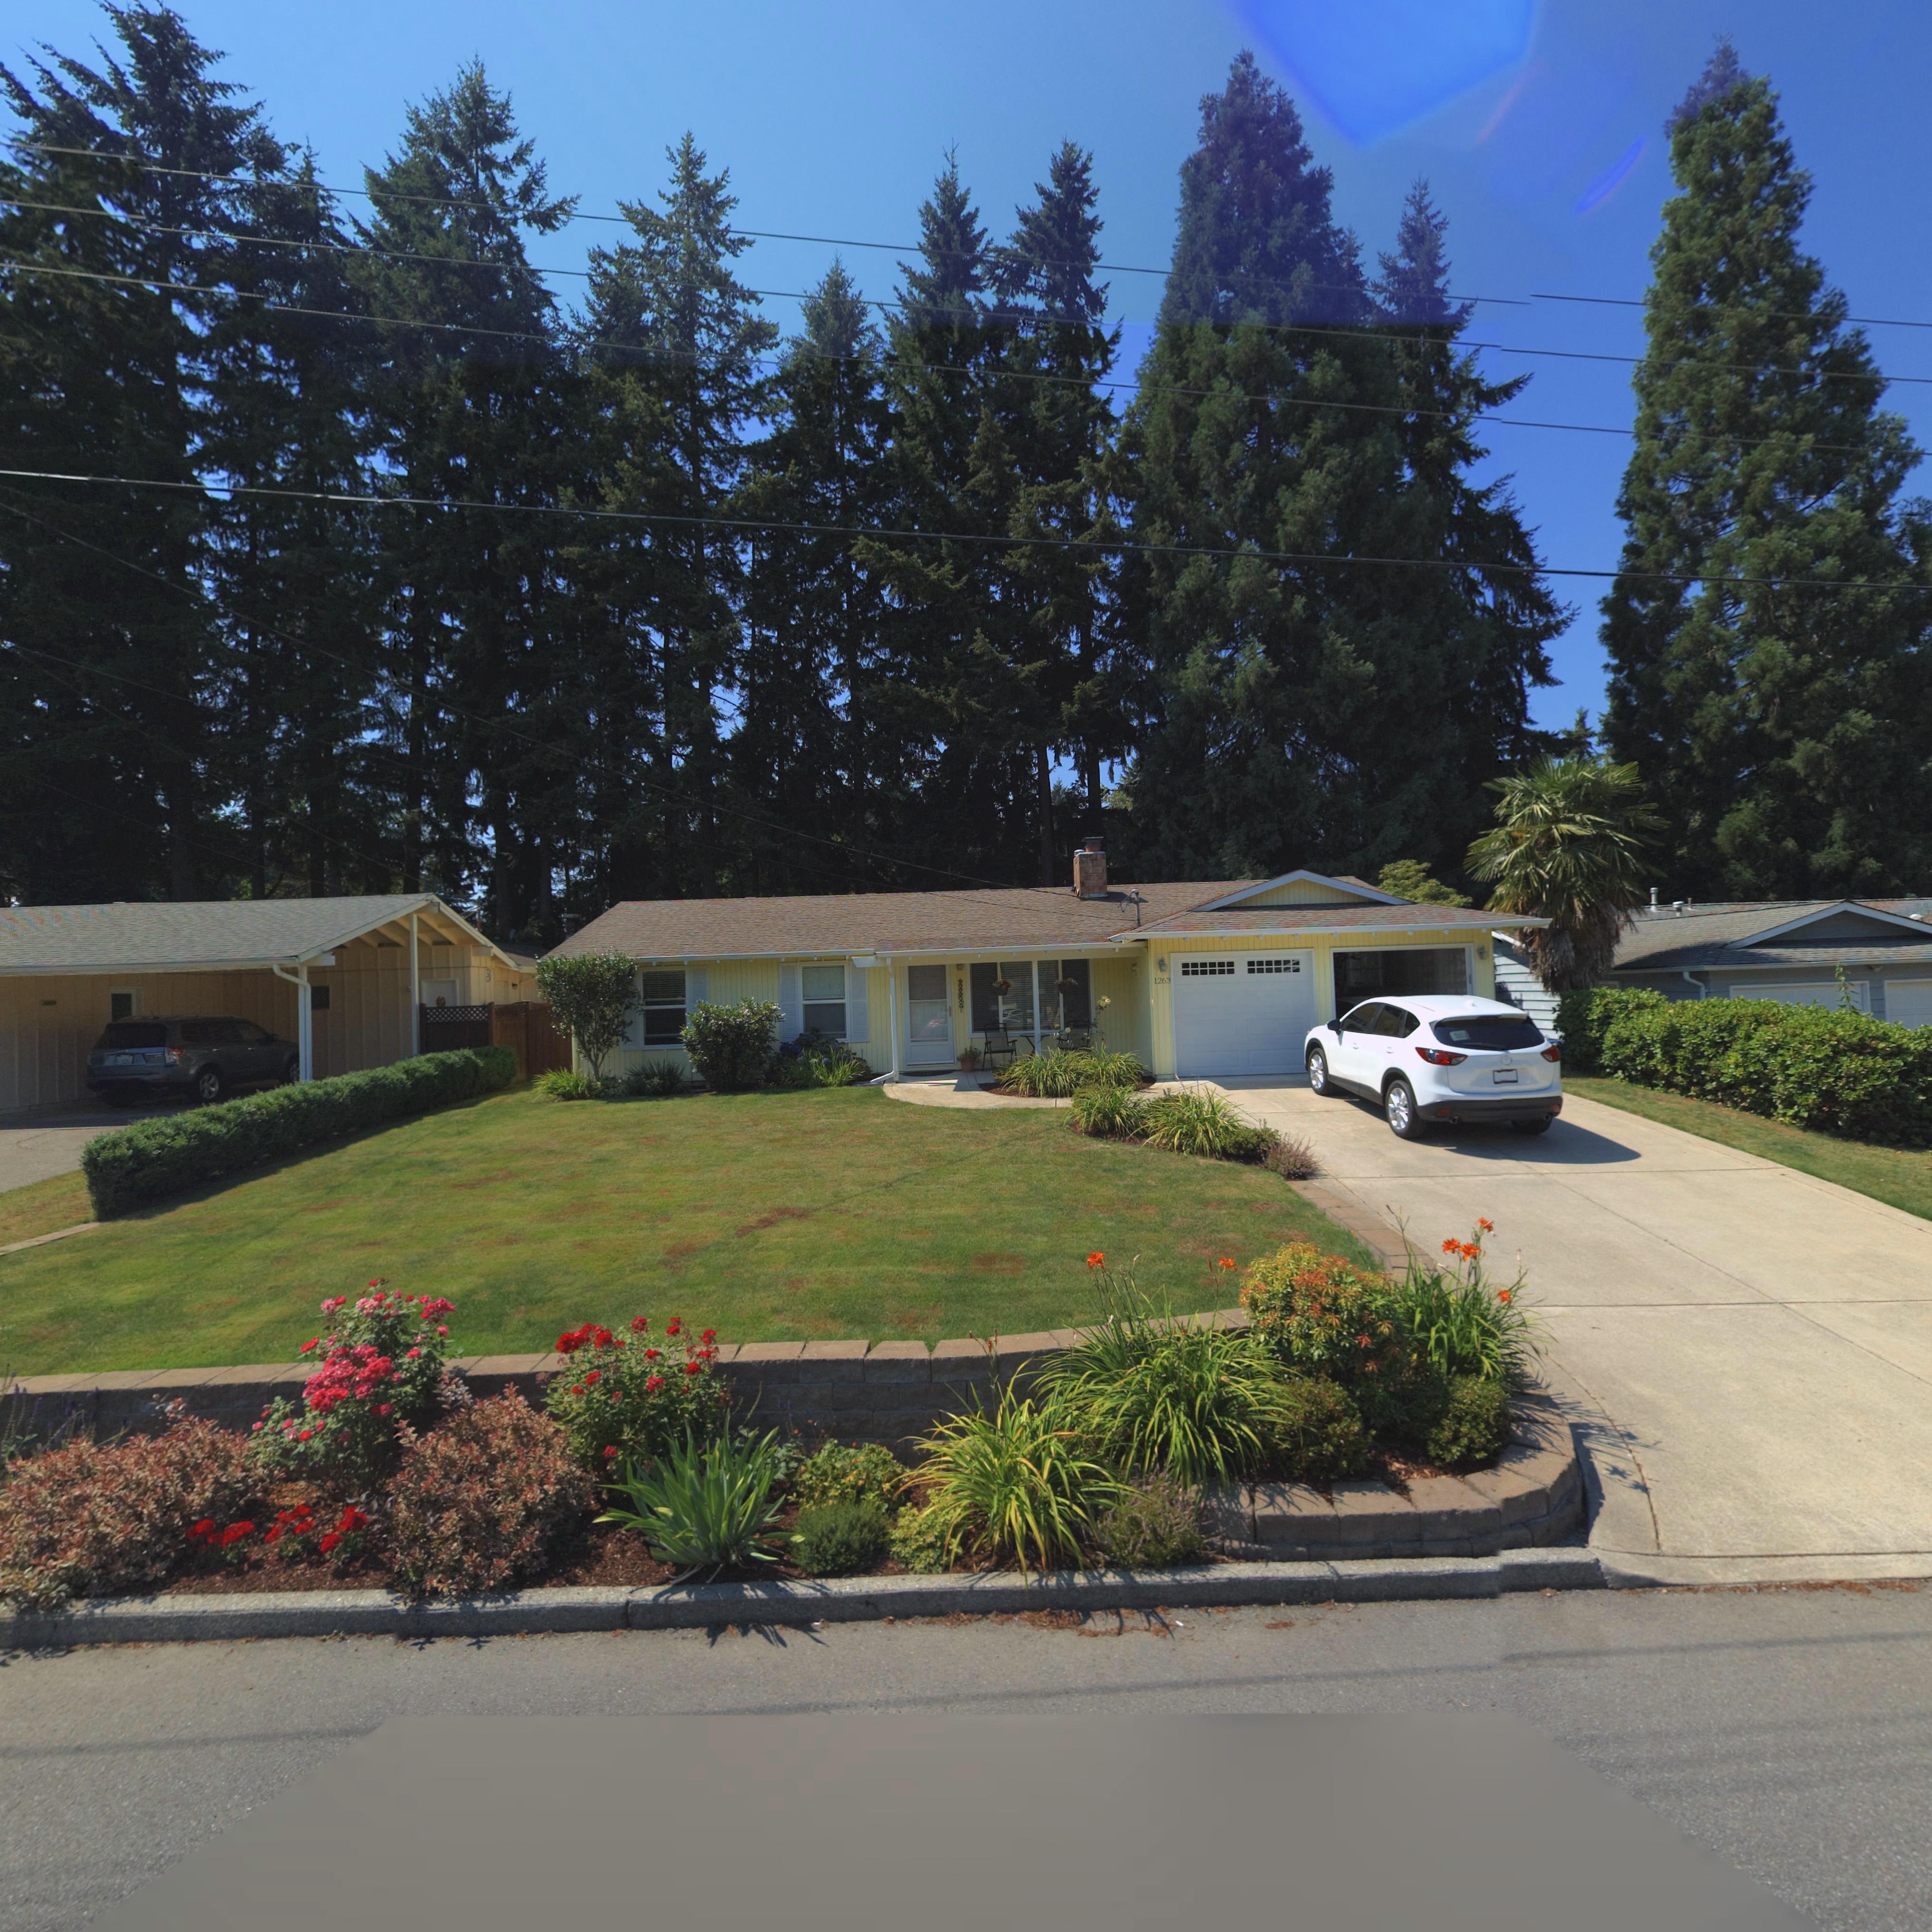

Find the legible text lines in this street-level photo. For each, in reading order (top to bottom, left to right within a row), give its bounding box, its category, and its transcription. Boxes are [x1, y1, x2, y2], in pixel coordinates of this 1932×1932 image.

[1154, 976, 1171, 984] StreetNumber: 1263